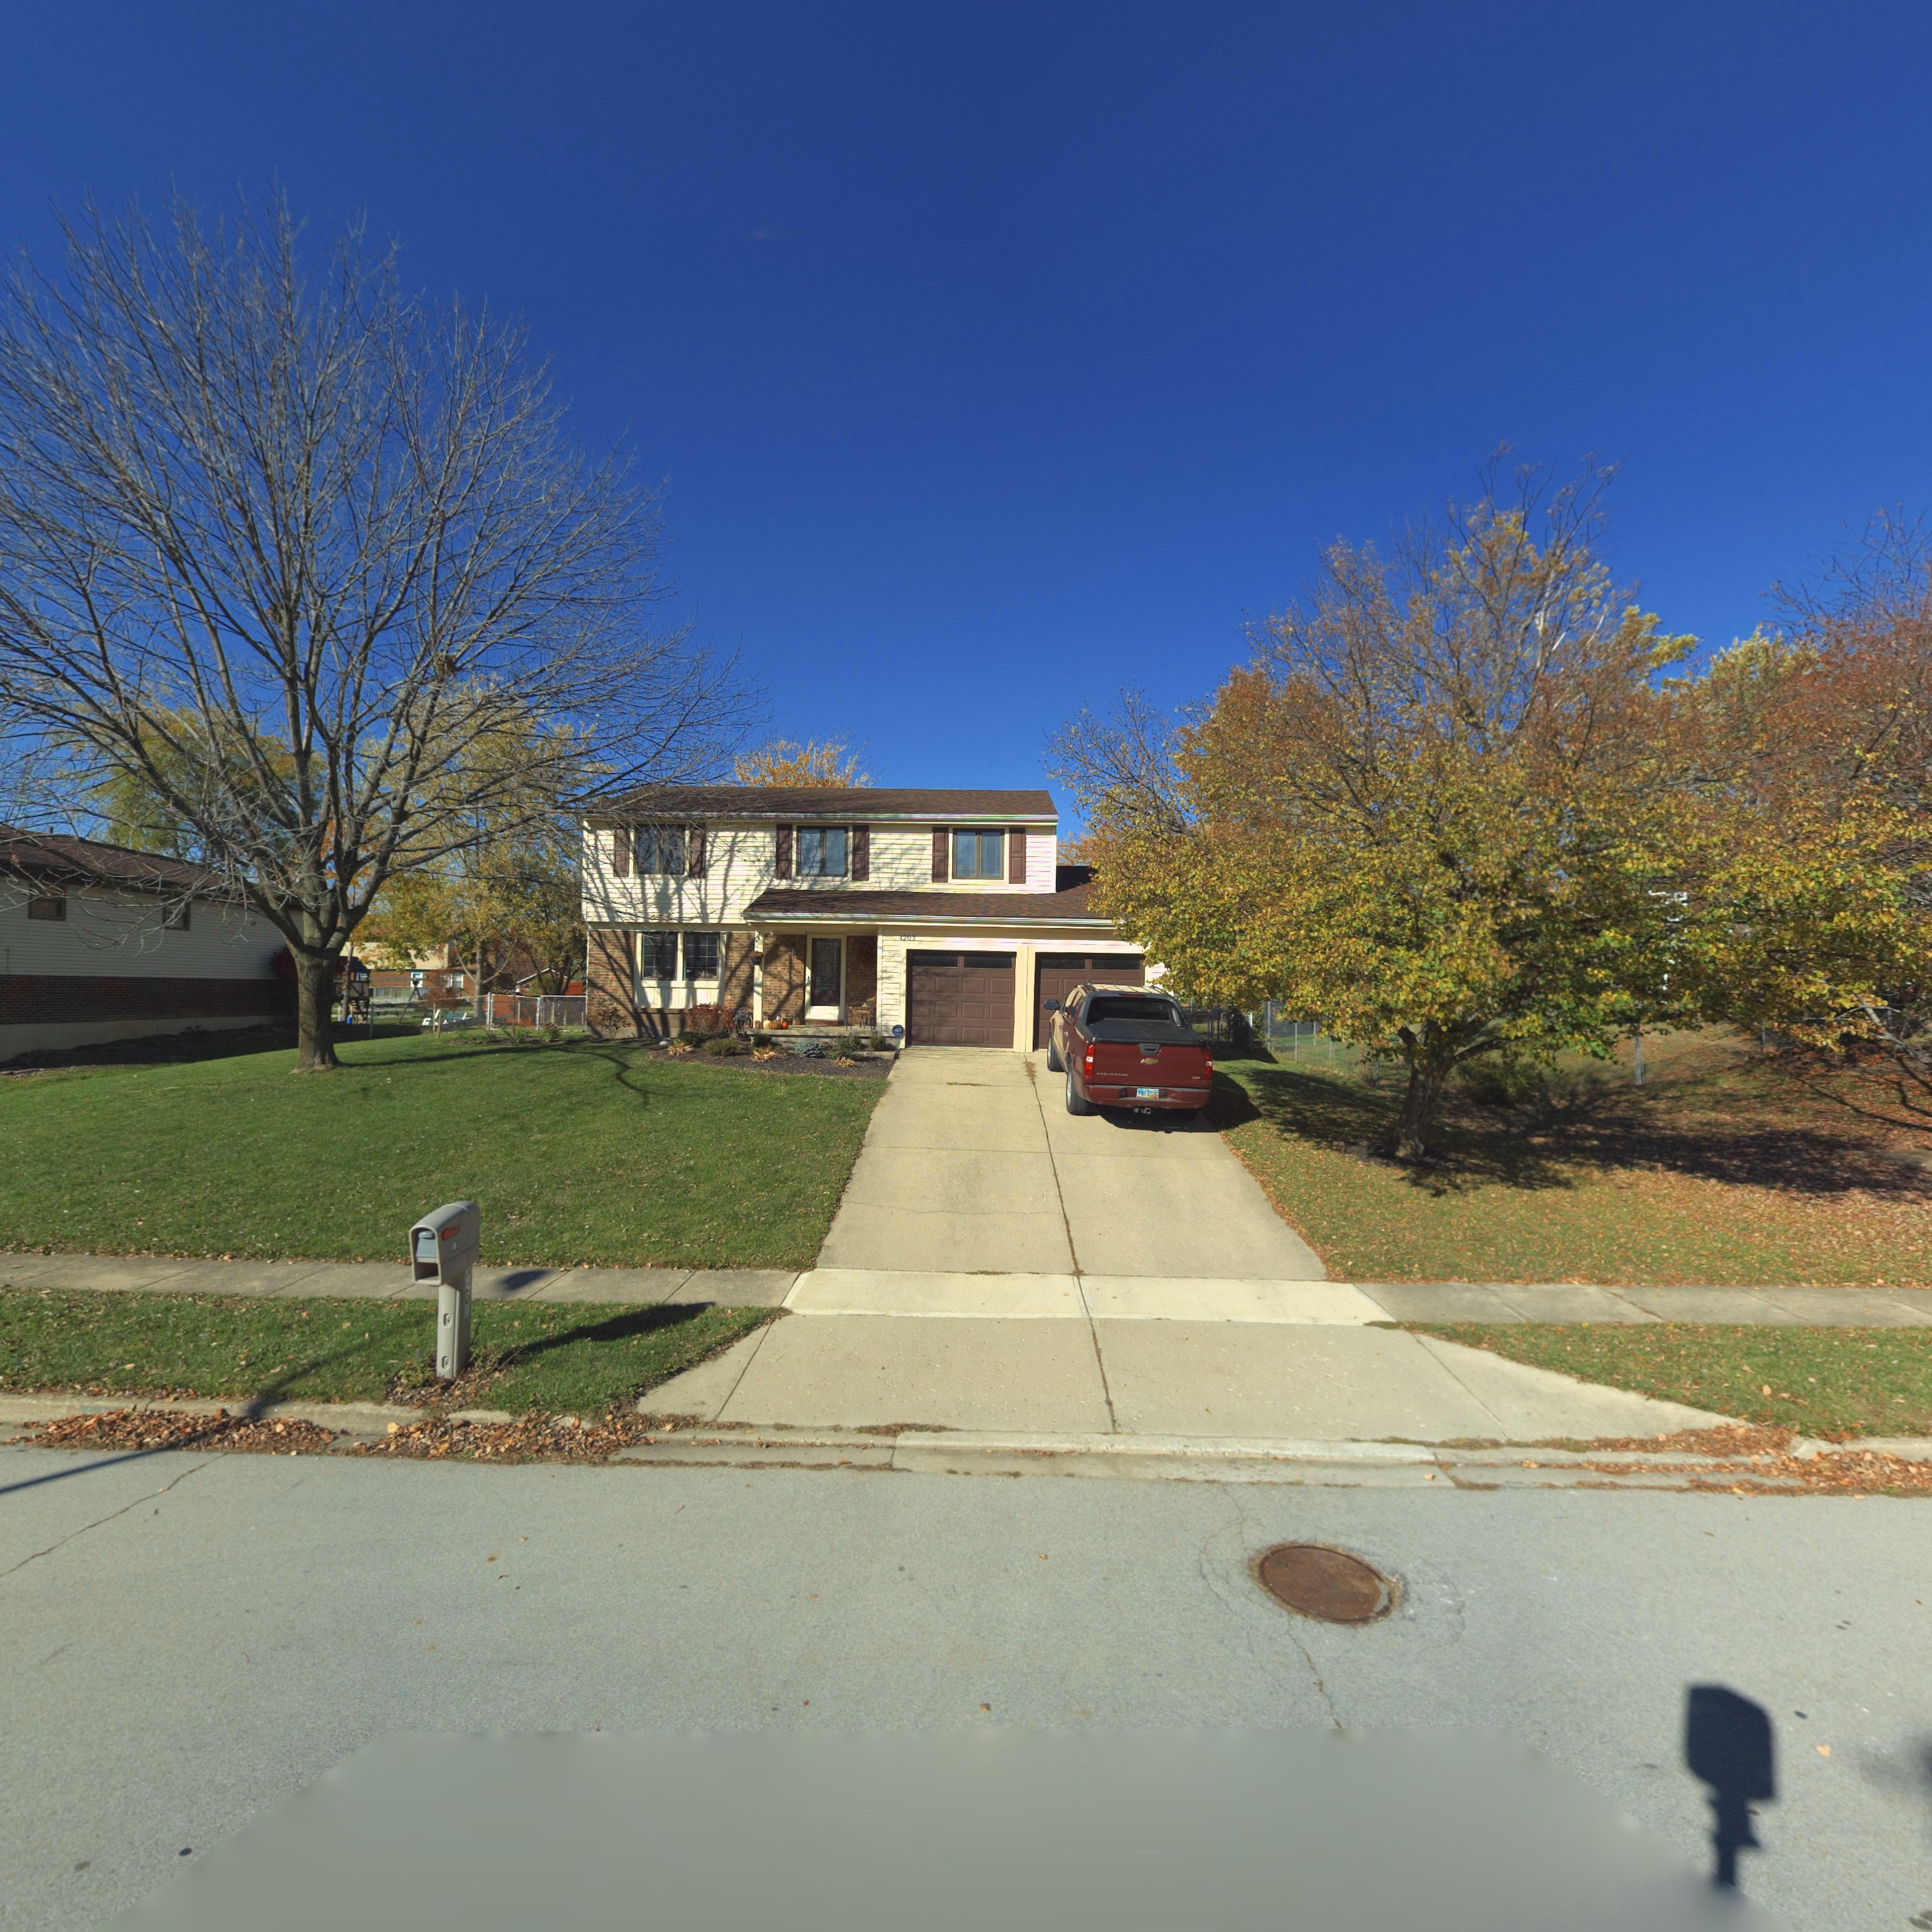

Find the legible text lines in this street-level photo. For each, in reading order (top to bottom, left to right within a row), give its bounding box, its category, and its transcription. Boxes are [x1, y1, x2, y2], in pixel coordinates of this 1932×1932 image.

[898, 934, 917, 942] StreetNumber: 4203
[1146, 1091, 1158, 1098] None: 4778